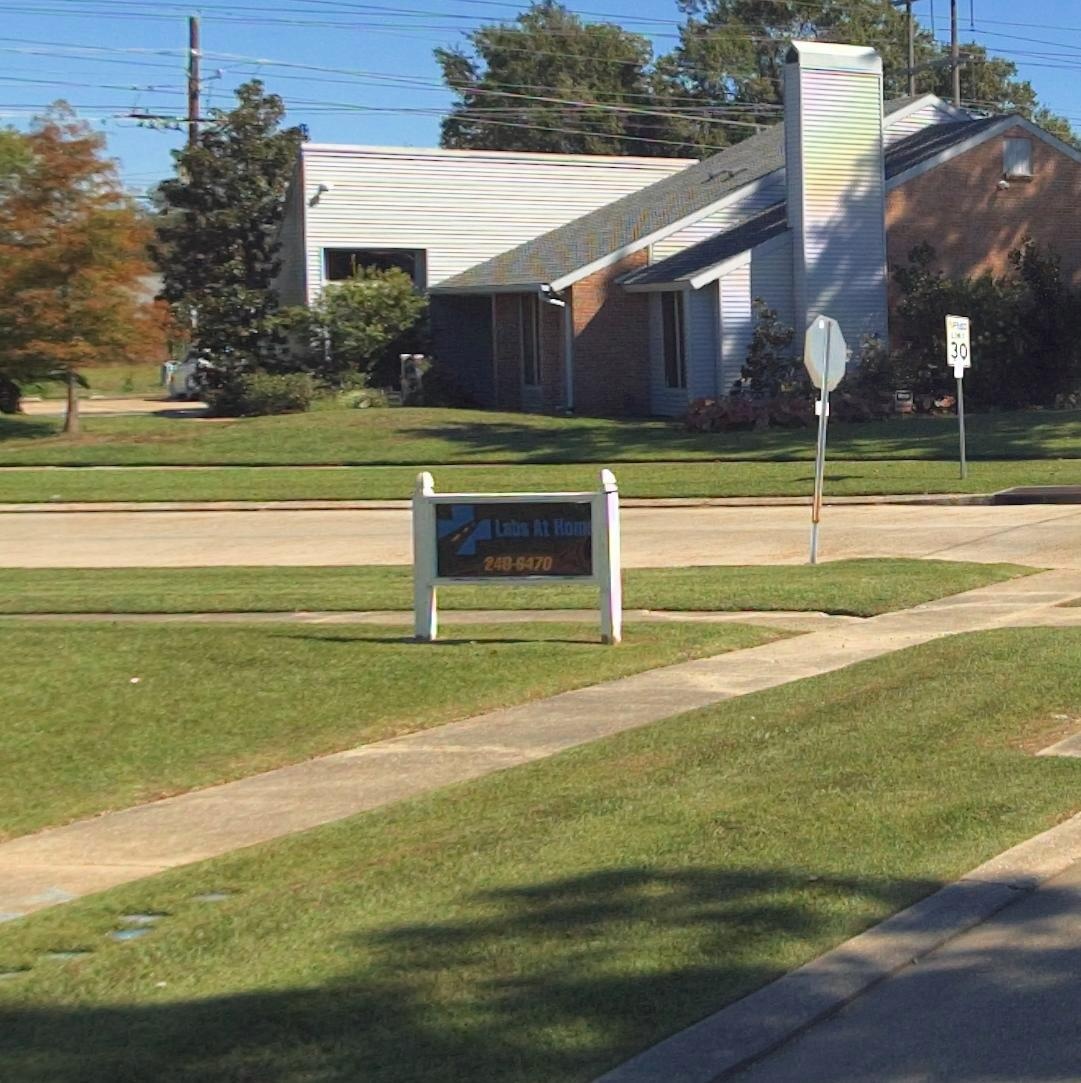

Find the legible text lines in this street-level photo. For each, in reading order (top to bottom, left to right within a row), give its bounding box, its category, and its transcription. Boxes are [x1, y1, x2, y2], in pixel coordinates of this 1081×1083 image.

[949, 339, 970, 364] None: 30
[493, 516, 588, 539] BusinessName: Labs At Hom
[481, 552, 557, 574] None: 24*-8470